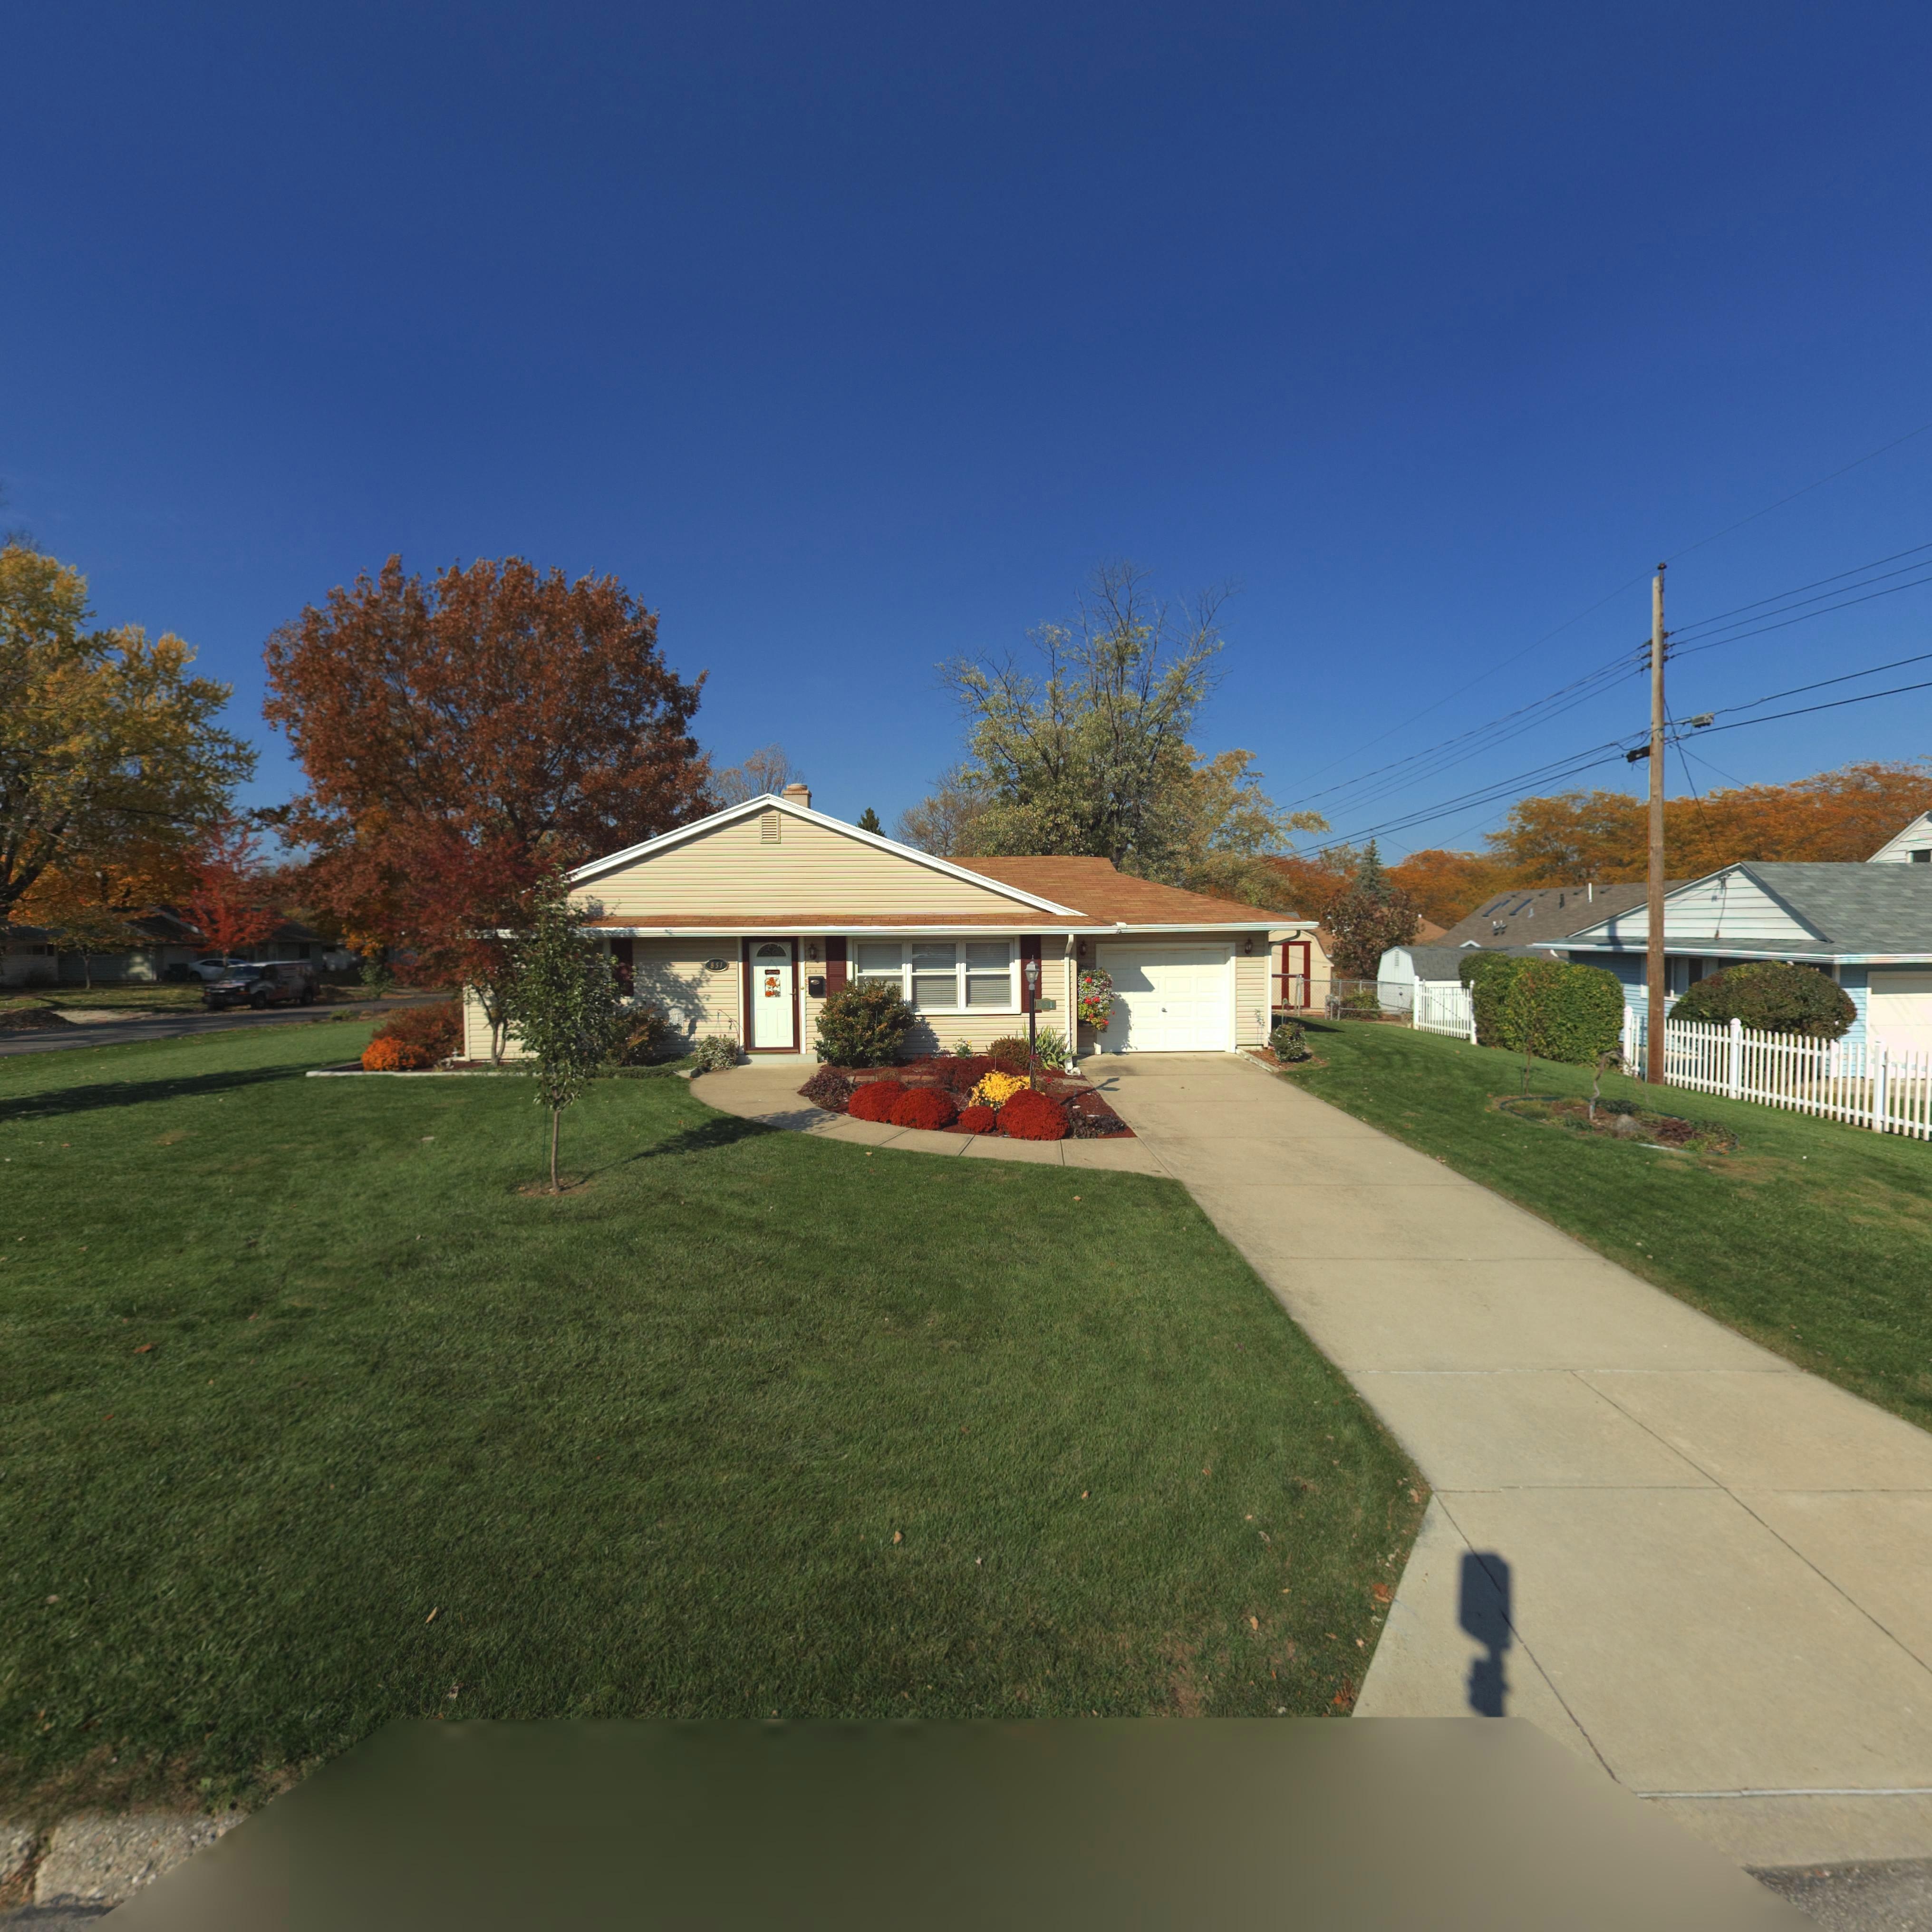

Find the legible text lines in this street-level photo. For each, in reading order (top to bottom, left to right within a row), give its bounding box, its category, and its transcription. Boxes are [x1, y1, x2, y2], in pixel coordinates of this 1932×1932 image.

[709, 961, 724, 970] StreetNumber: 851